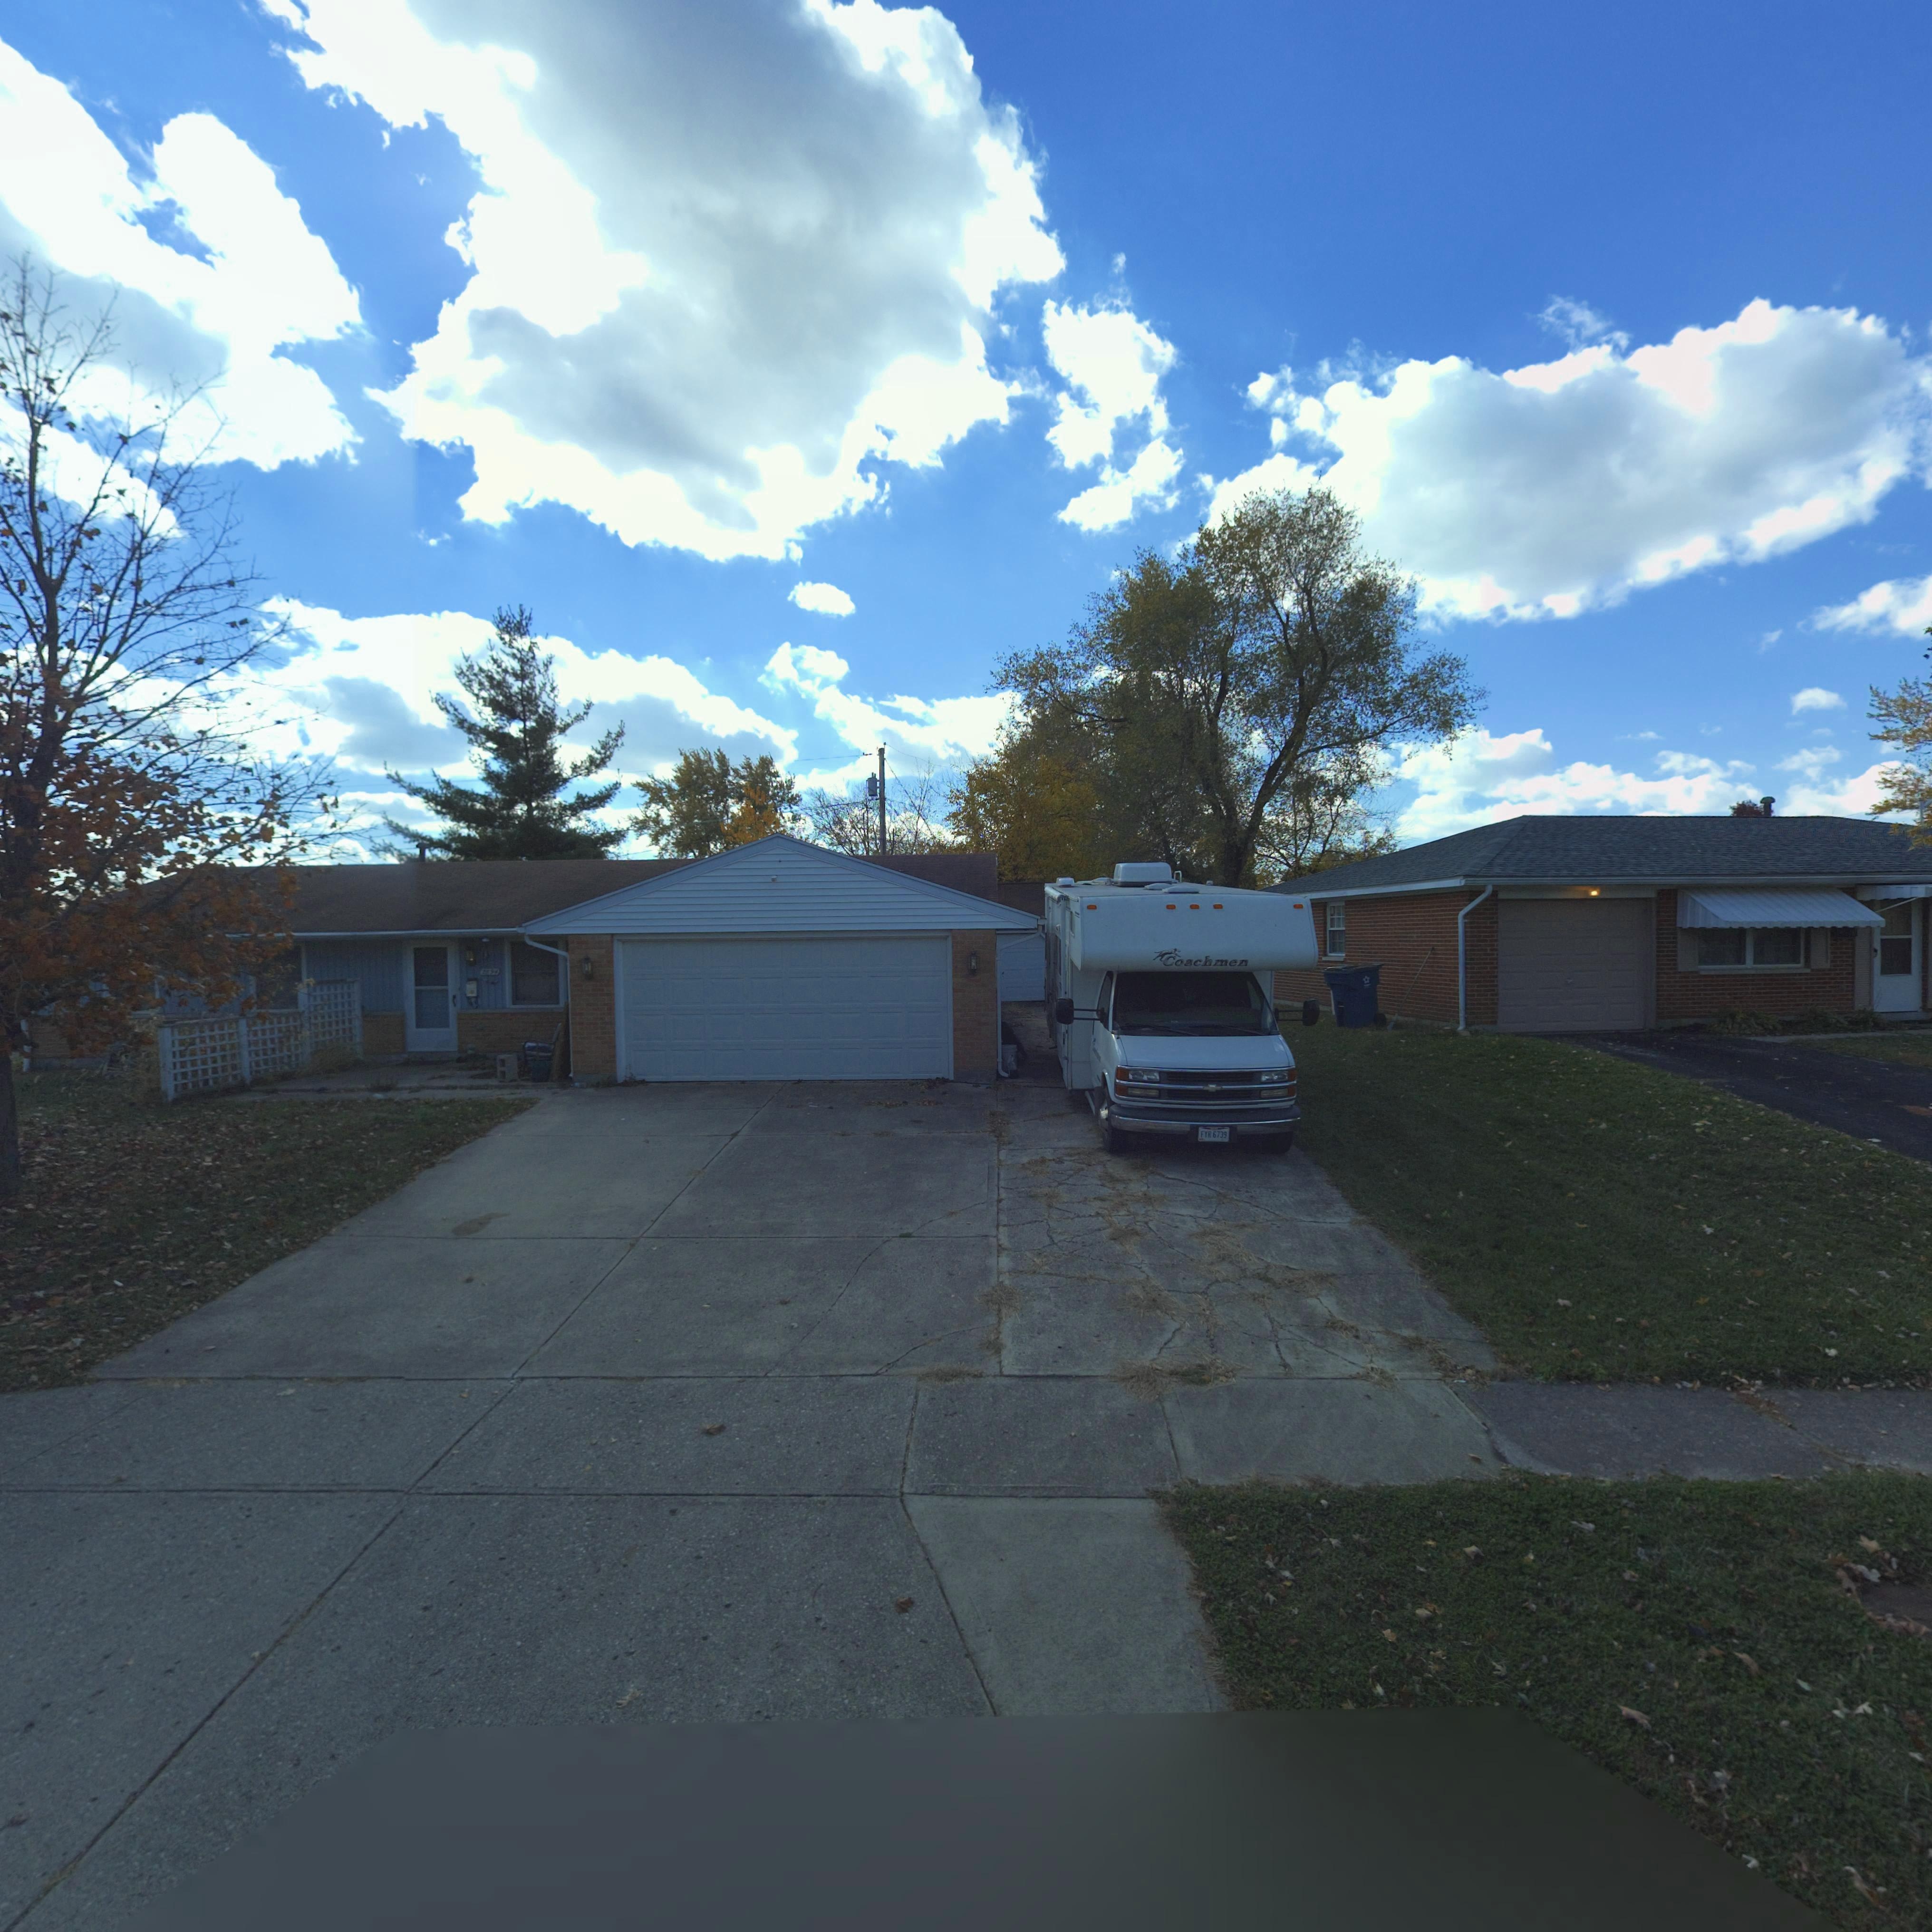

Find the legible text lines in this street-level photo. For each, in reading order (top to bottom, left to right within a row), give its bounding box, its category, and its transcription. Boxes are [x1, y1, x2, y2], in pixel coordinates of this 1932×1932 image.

[481, 969, 499, 975] StreetNumber: 7894